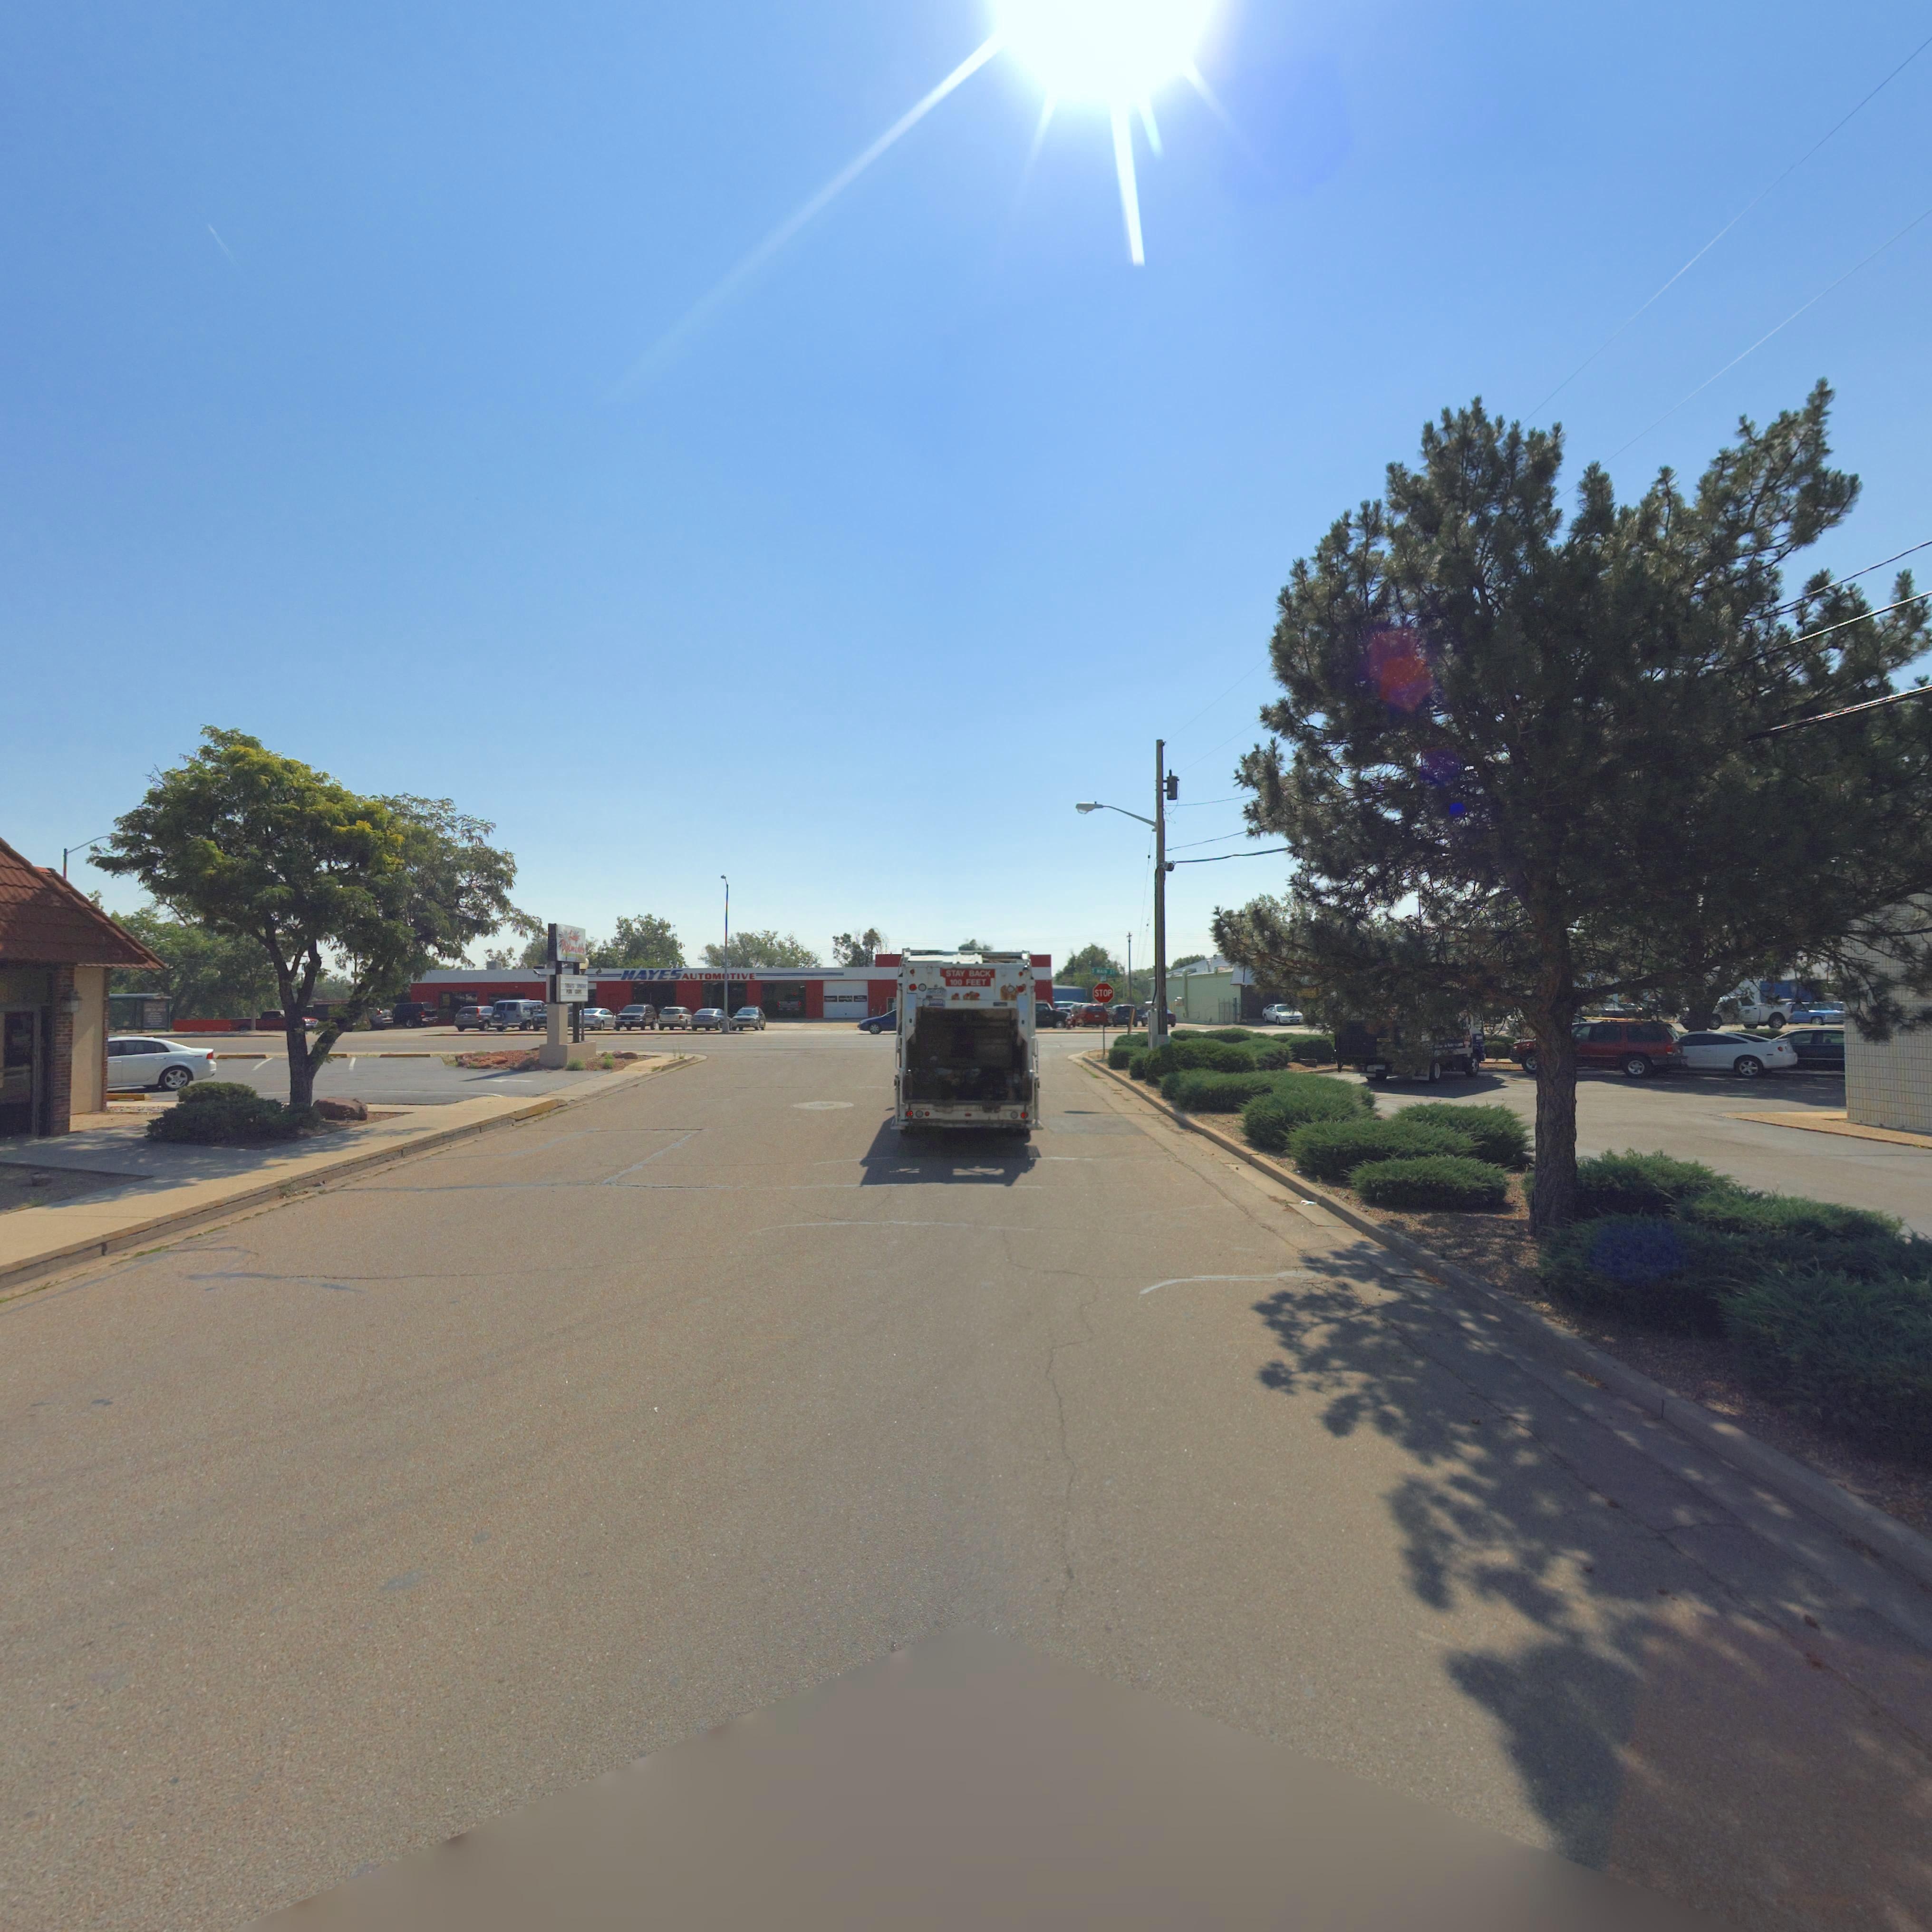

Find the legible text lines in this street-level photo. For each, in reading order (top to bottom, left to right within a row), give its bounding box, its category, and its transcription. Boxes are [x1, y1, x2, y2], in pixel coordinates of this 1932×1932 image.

[568, 929, 579, 941] BusinessName: L**
[559, 939, 584, 955] BusinessName: Pa*****
[620, 968, 755, 980] BusinessName: HAYESAUTOM*TIVE
[1092, 968, 1115, 975] StreetName: S *A** S*